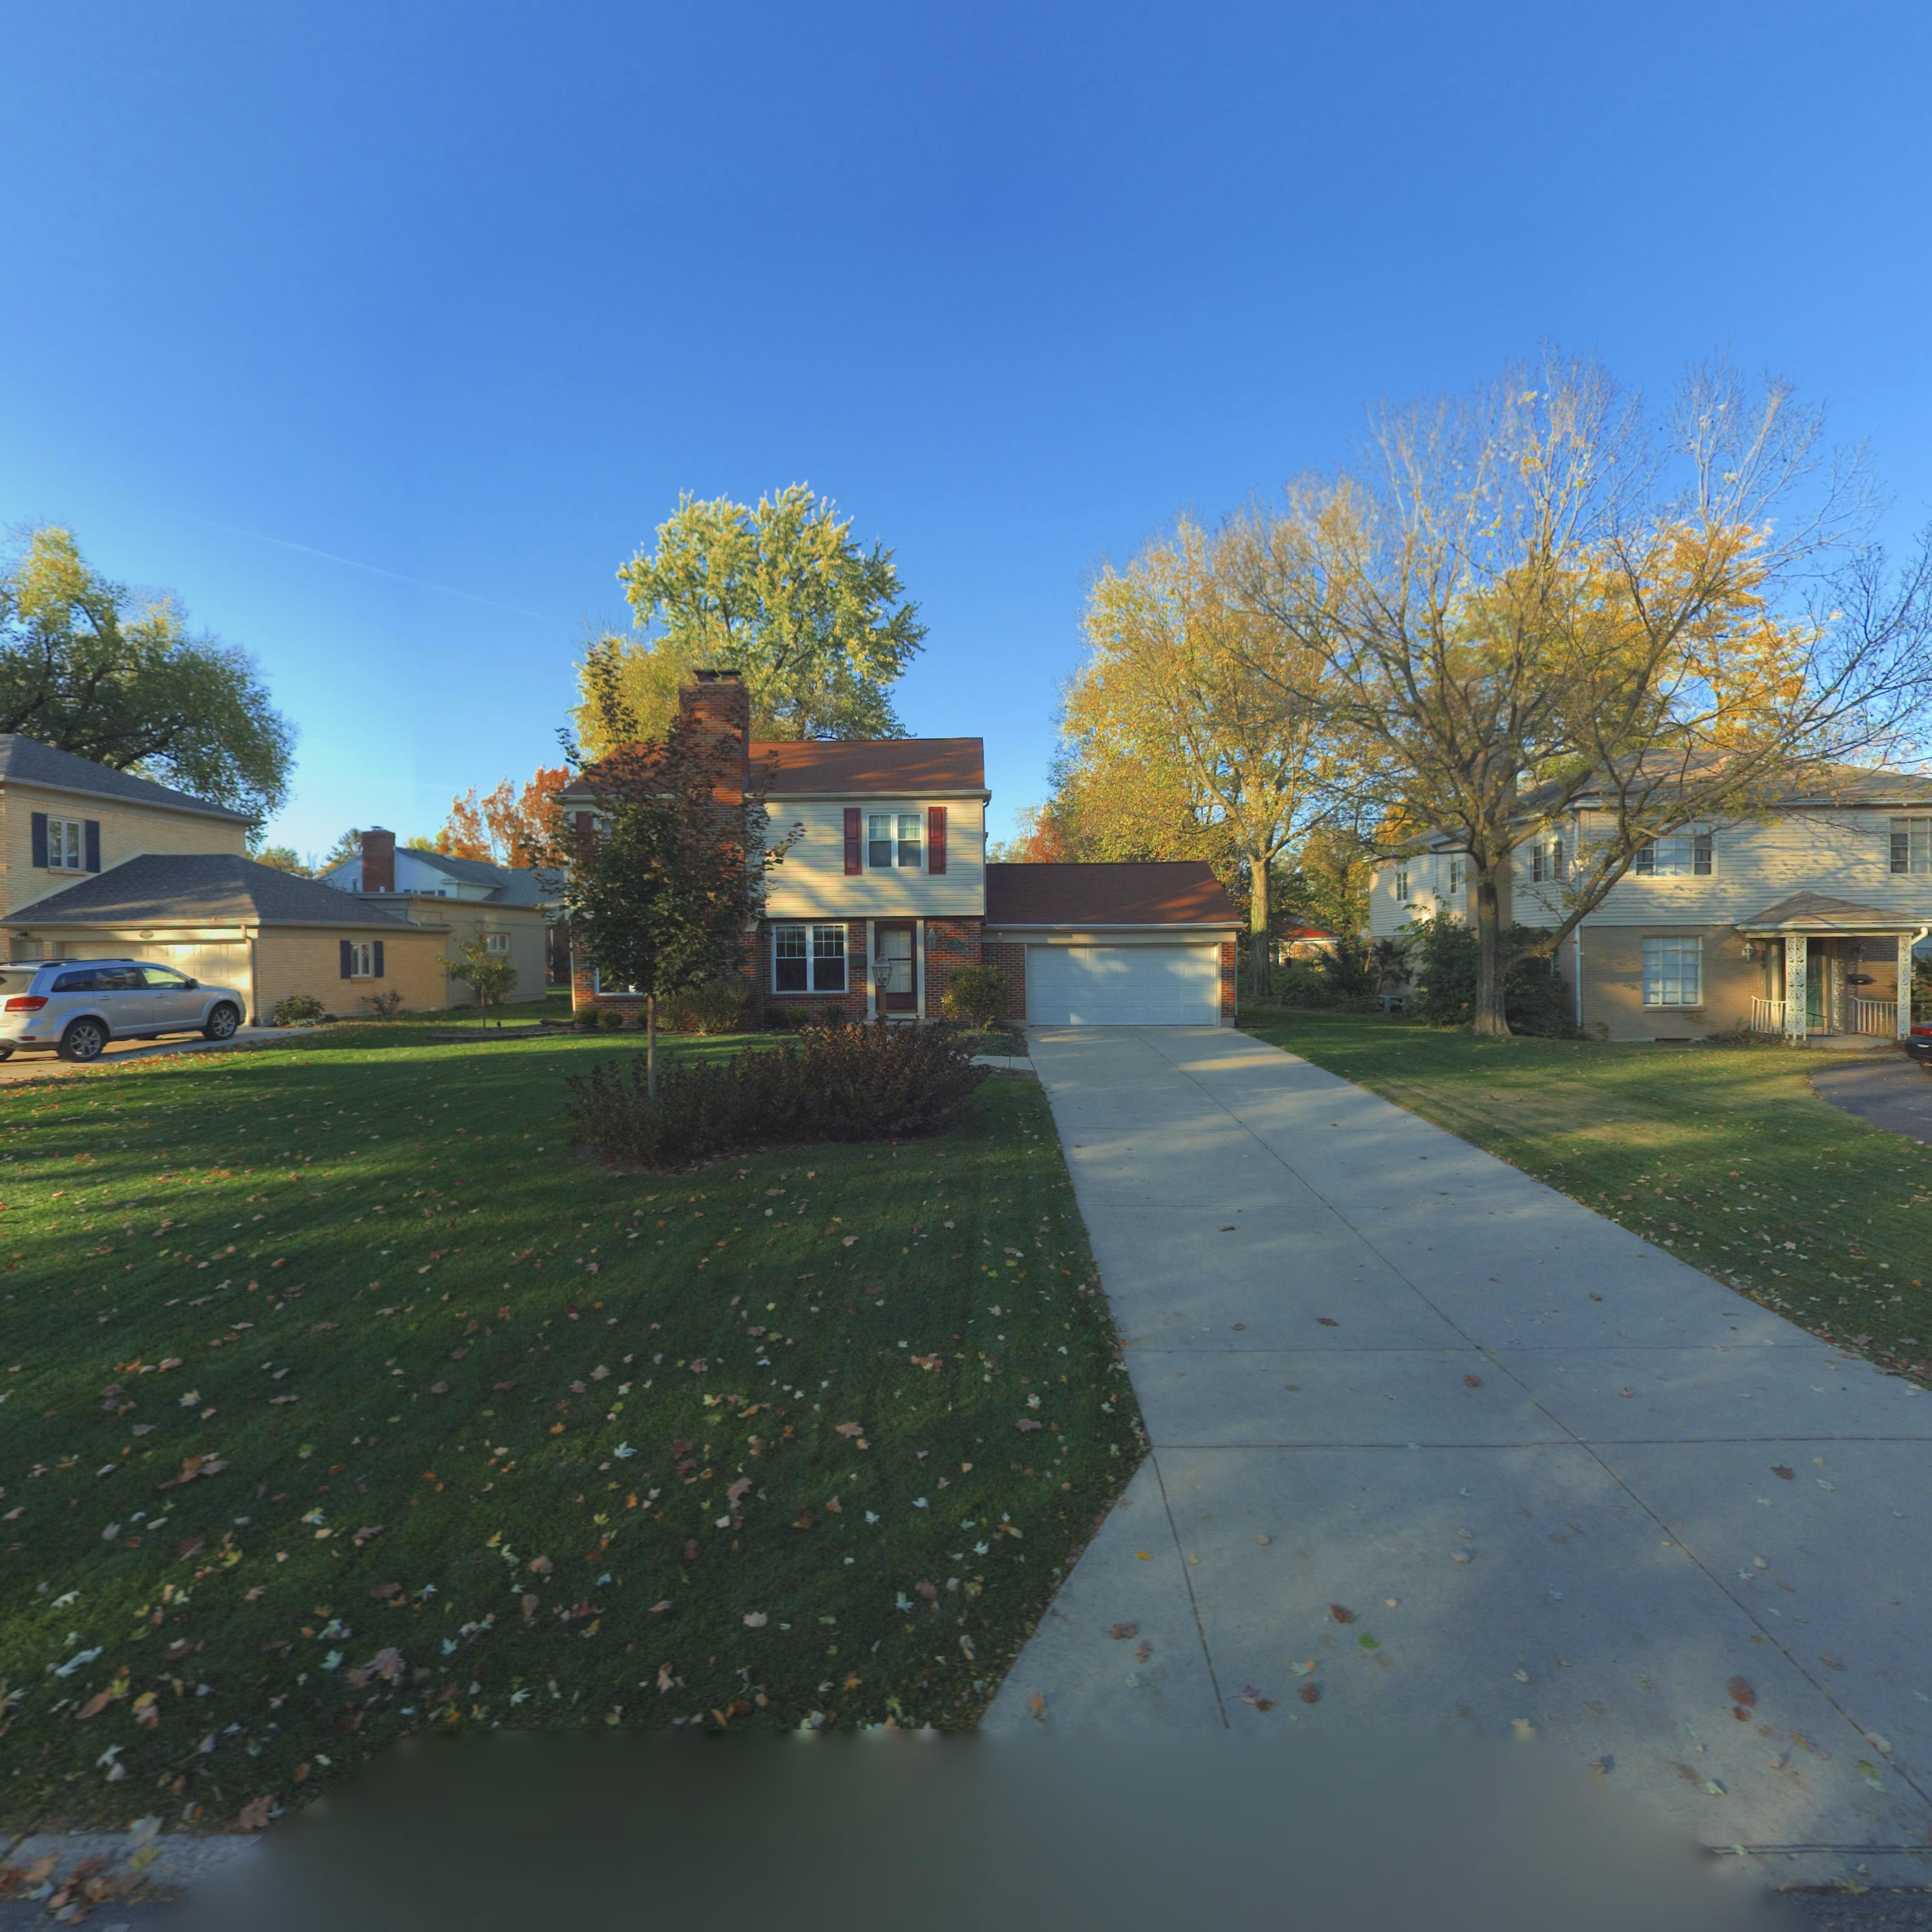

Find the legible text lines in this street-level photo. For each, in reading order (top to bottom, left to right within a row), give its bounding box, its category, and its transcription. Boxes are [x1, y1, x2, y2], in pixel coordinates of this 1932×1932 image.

[1760, 951, 1766, 970] StreetNumber: 249